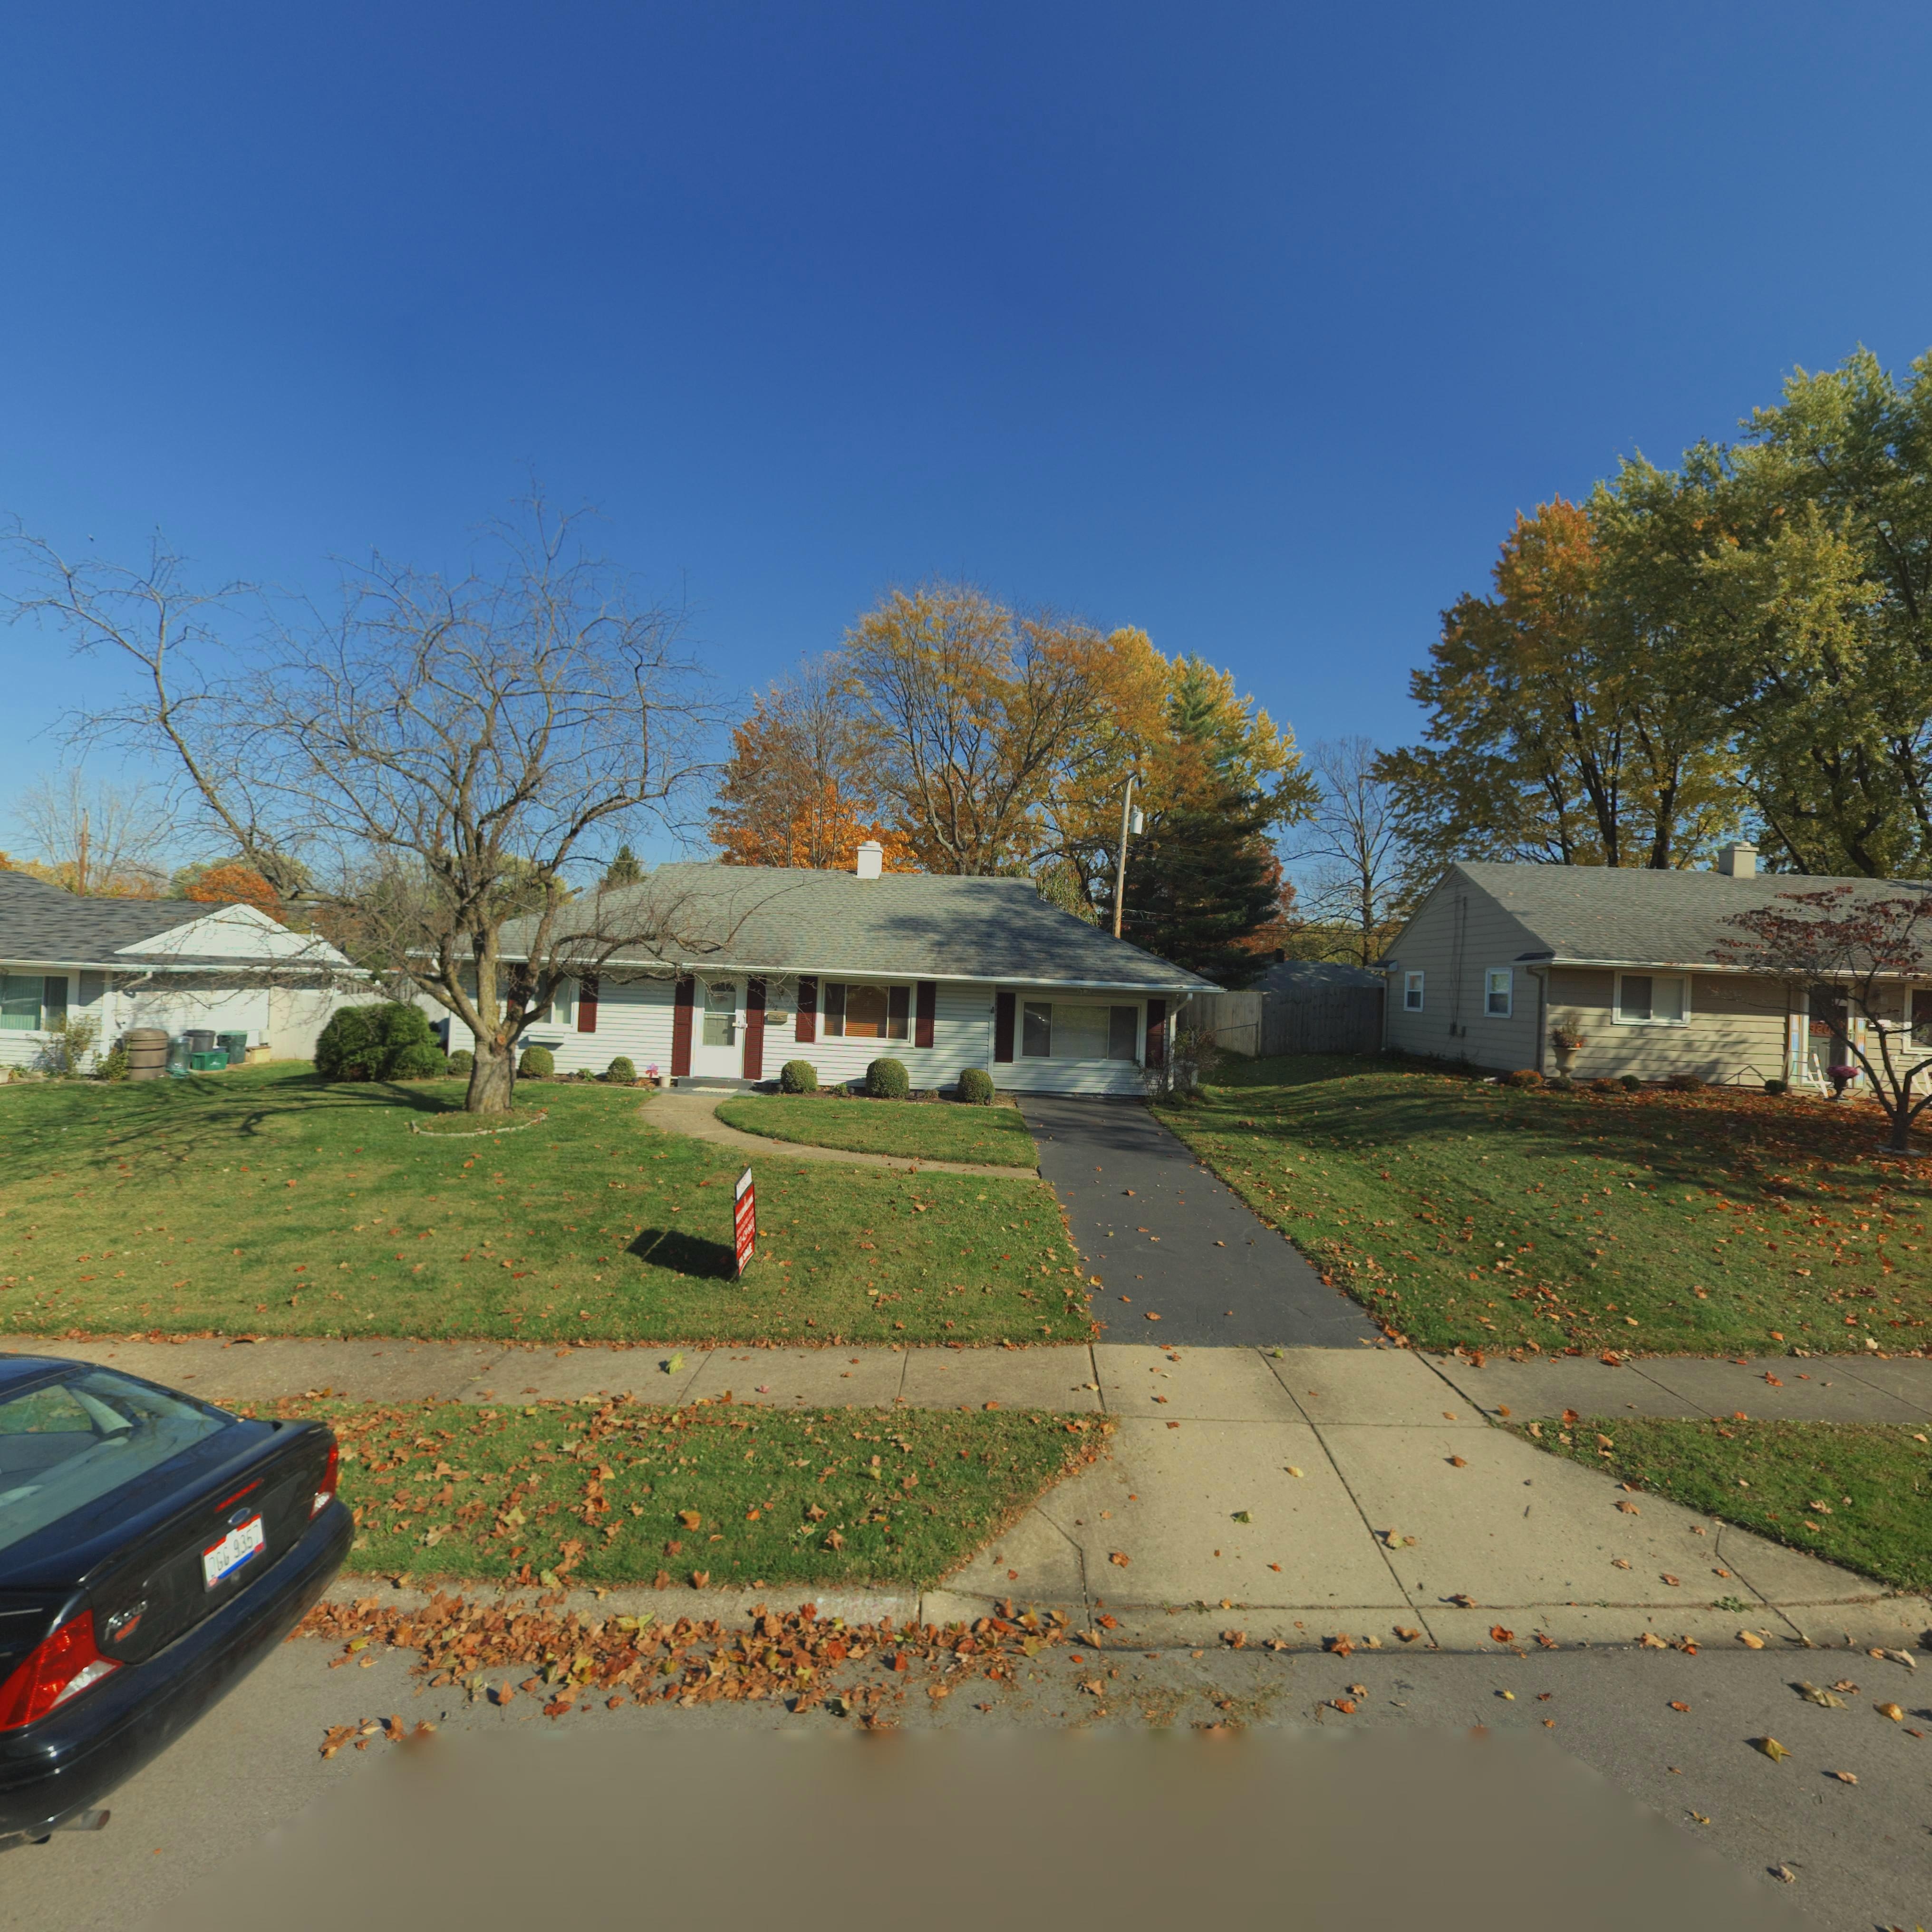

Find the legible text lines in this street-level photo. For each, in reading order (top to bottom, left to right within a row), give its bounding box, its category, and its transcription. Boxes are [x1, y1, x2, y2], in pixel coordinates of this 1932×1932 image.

[767, 997, 778, 1011] StreetNumber: 3732
[1809, 1023, 1841, 1036] StreetNumber: 3806
[207, 1522, 260, 1579] None: OGG 9357
[103, 1597, 149, 1643] None: focus